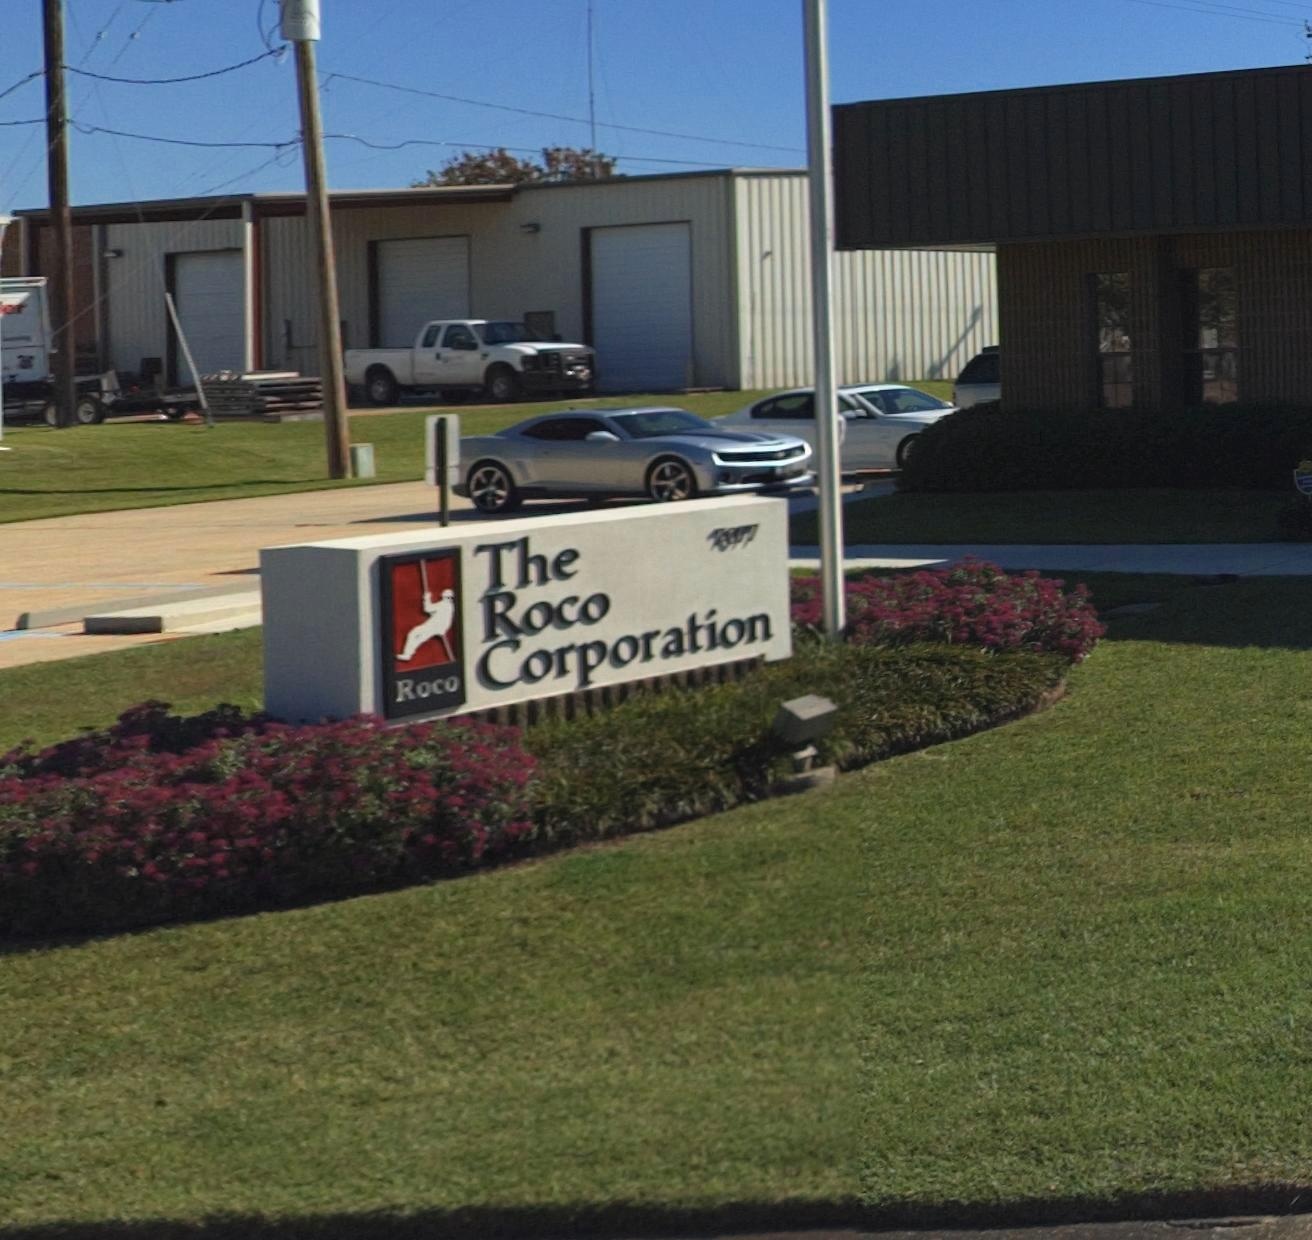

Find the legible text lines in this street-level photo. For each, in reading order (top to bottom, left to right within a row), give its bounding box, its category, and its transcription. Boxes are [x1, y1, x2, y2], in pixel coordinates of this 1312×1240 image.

[467, 531, 586, 595] BusinessName: The
[473, 586, 616, 648] BusinessName: Roco
[472, 602, 778, 696] BusinessName: Corporation
[391, 671, 463, 707] BusinessName: Roco